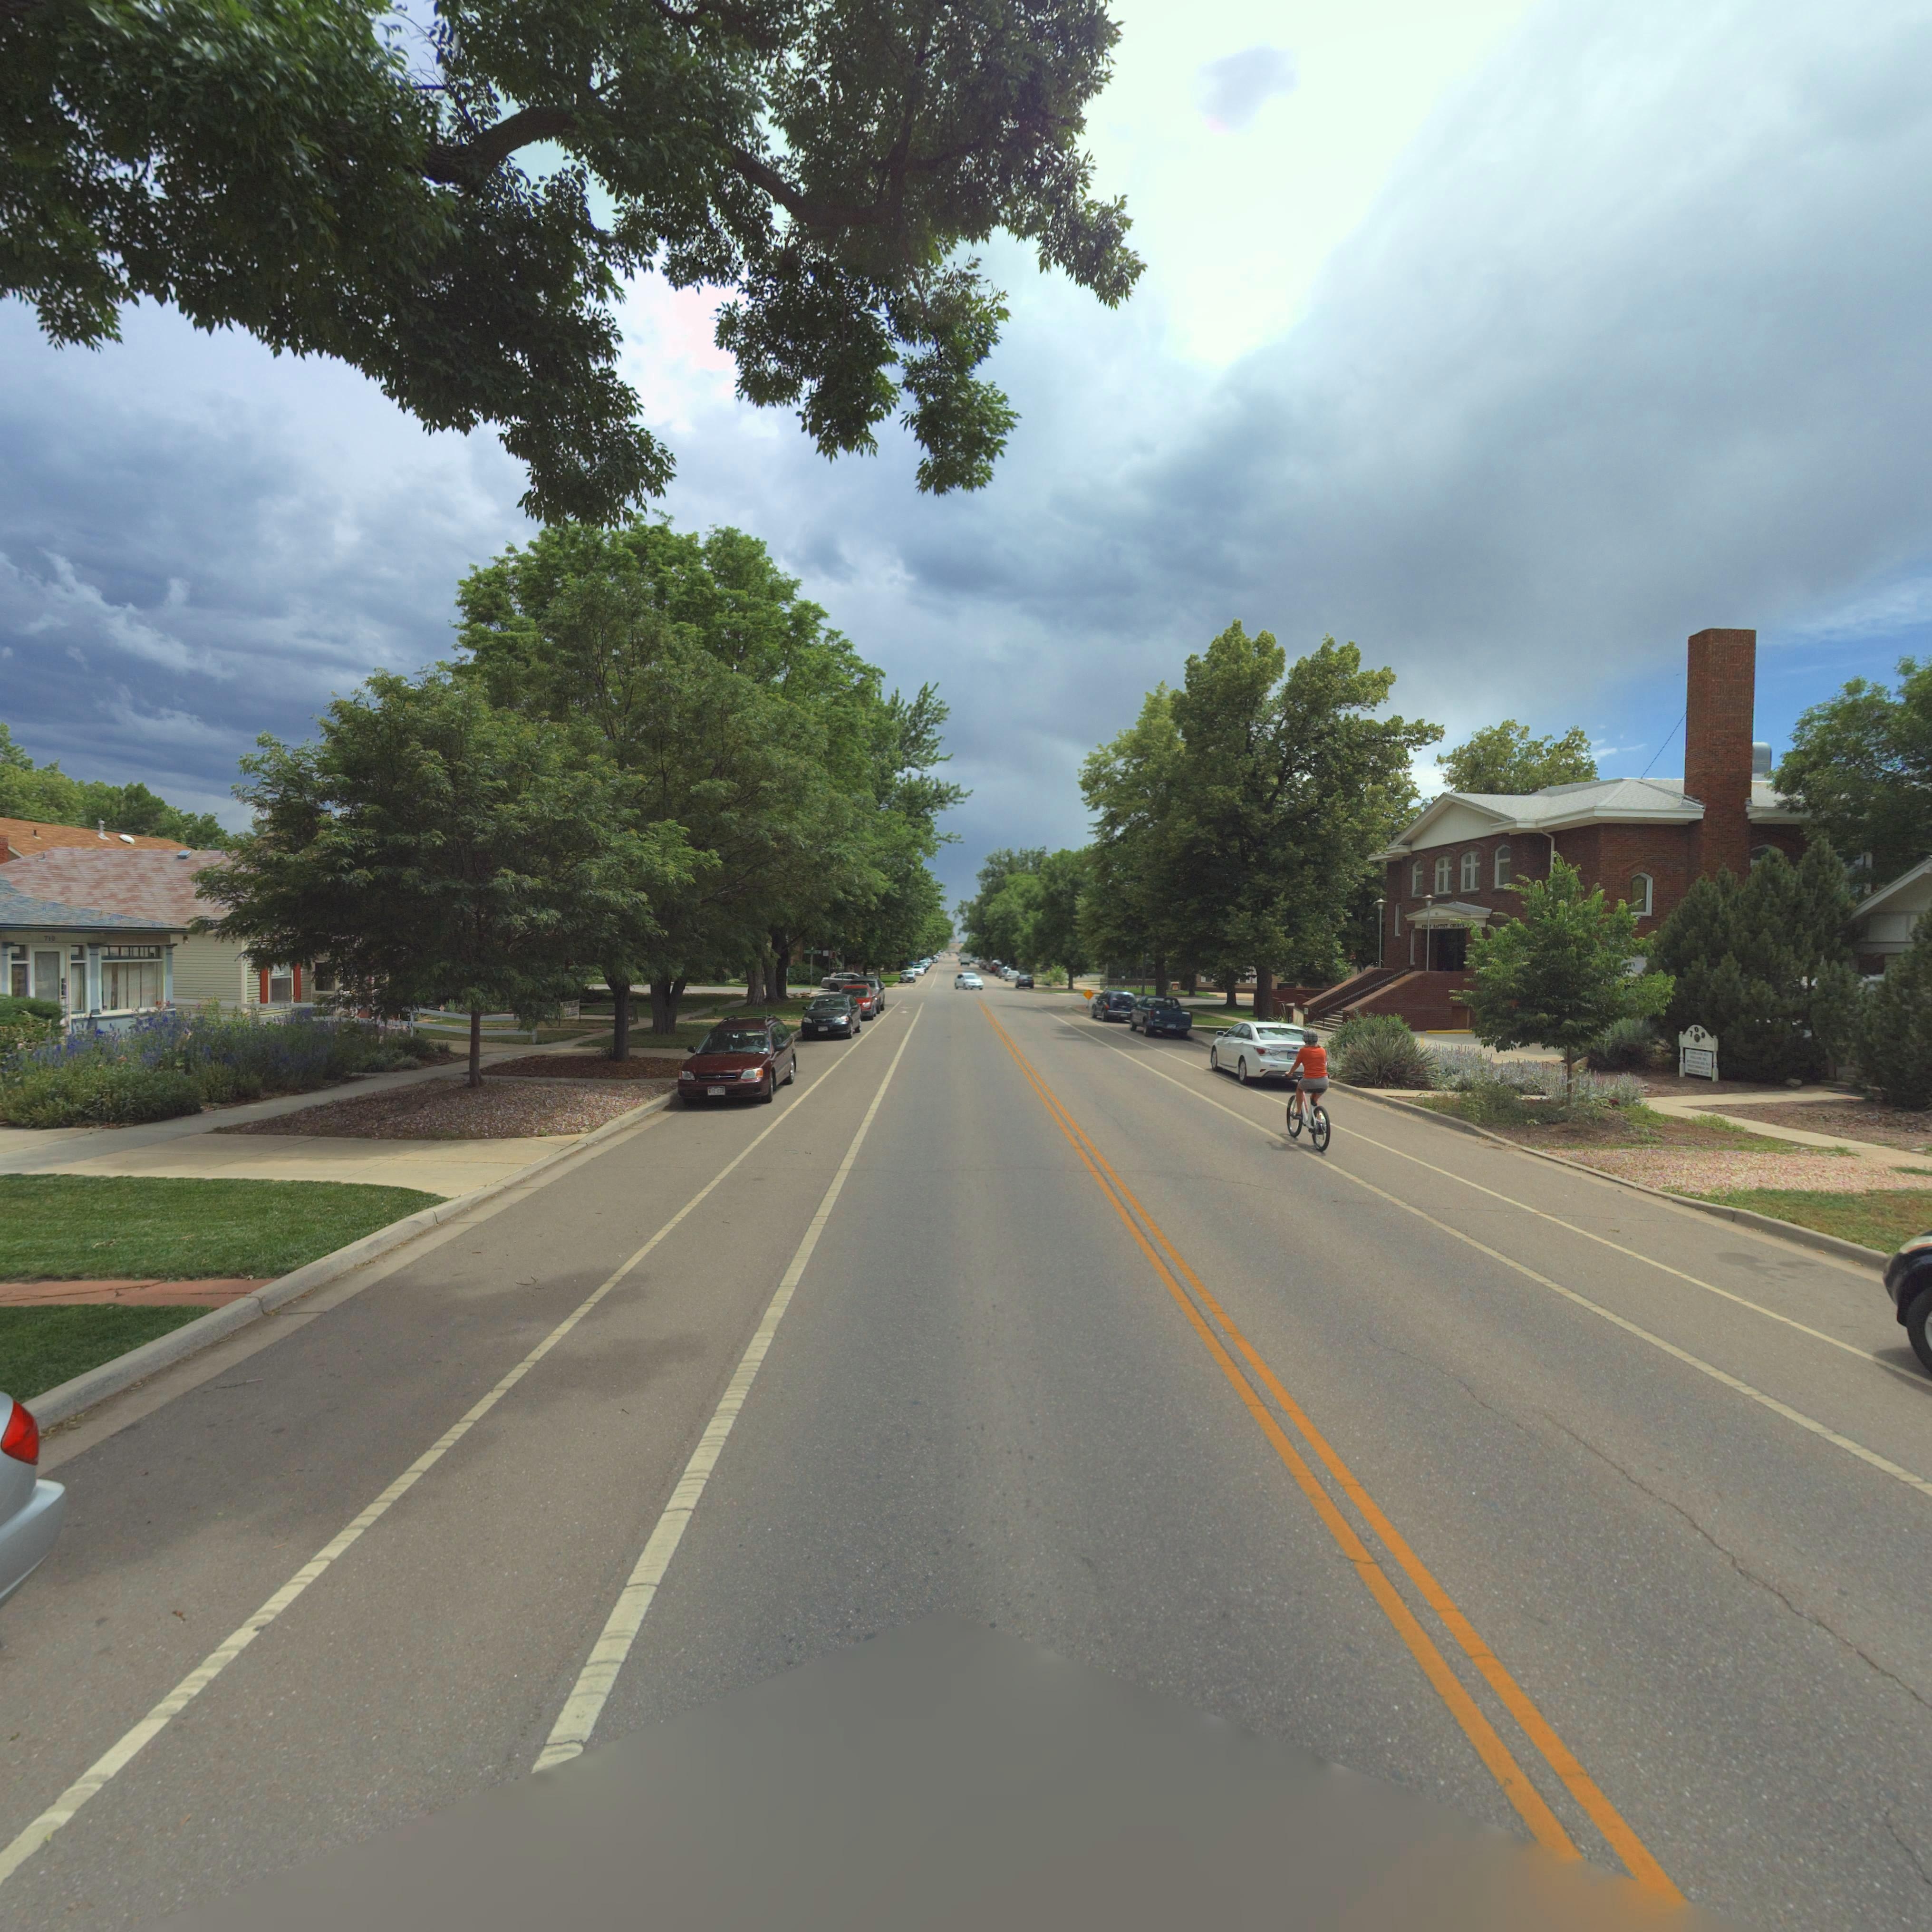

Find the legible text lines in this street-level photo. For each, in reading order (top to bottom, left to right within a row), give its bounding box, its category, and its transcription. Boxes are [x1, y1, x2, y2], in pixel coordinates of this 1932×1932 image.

[1421, 923, 1465, 928] BusinessName: FIR** **PTIST CHURCH
[43, 935, 55, 941] StreetNumber: 710
[1689, 1026, 1705, 1038] StreetNumber: 709